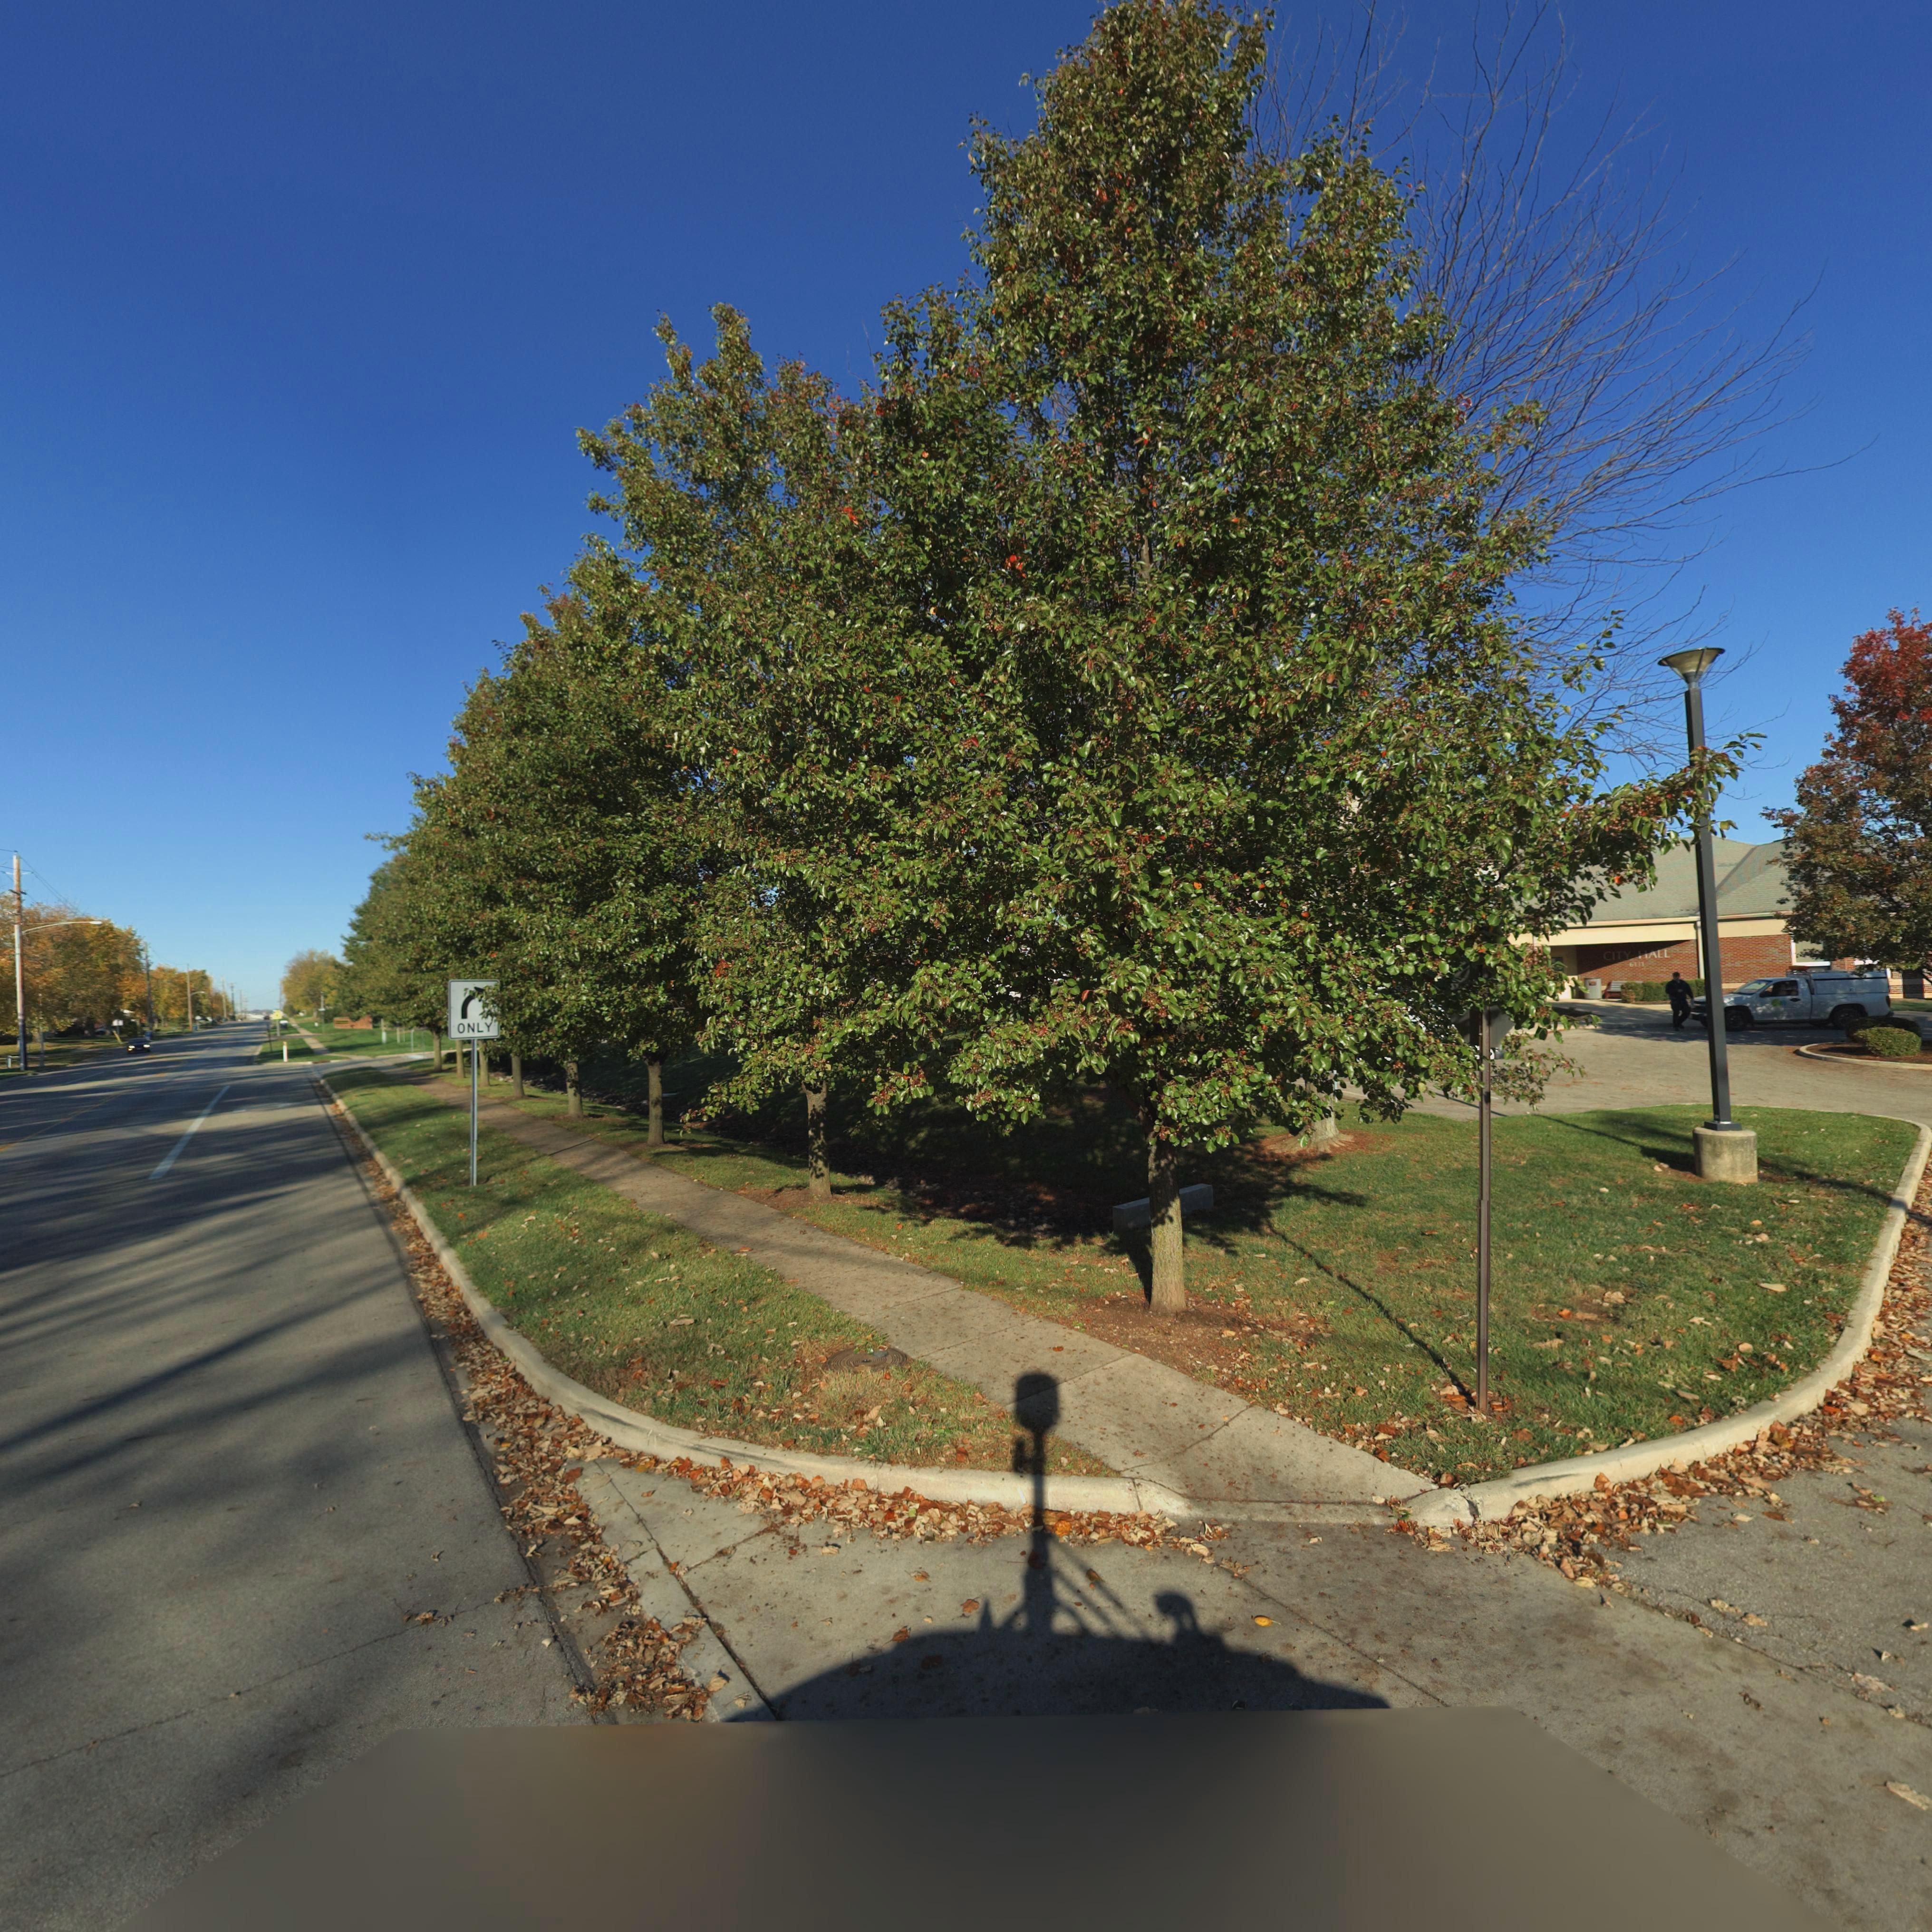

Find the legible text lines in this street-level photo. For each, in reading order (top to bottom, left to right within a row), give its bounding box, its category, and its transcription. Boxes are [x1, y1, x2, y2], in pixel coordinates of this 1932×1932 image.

[1629, 961, 1645, 967] StreetNumber: 6131